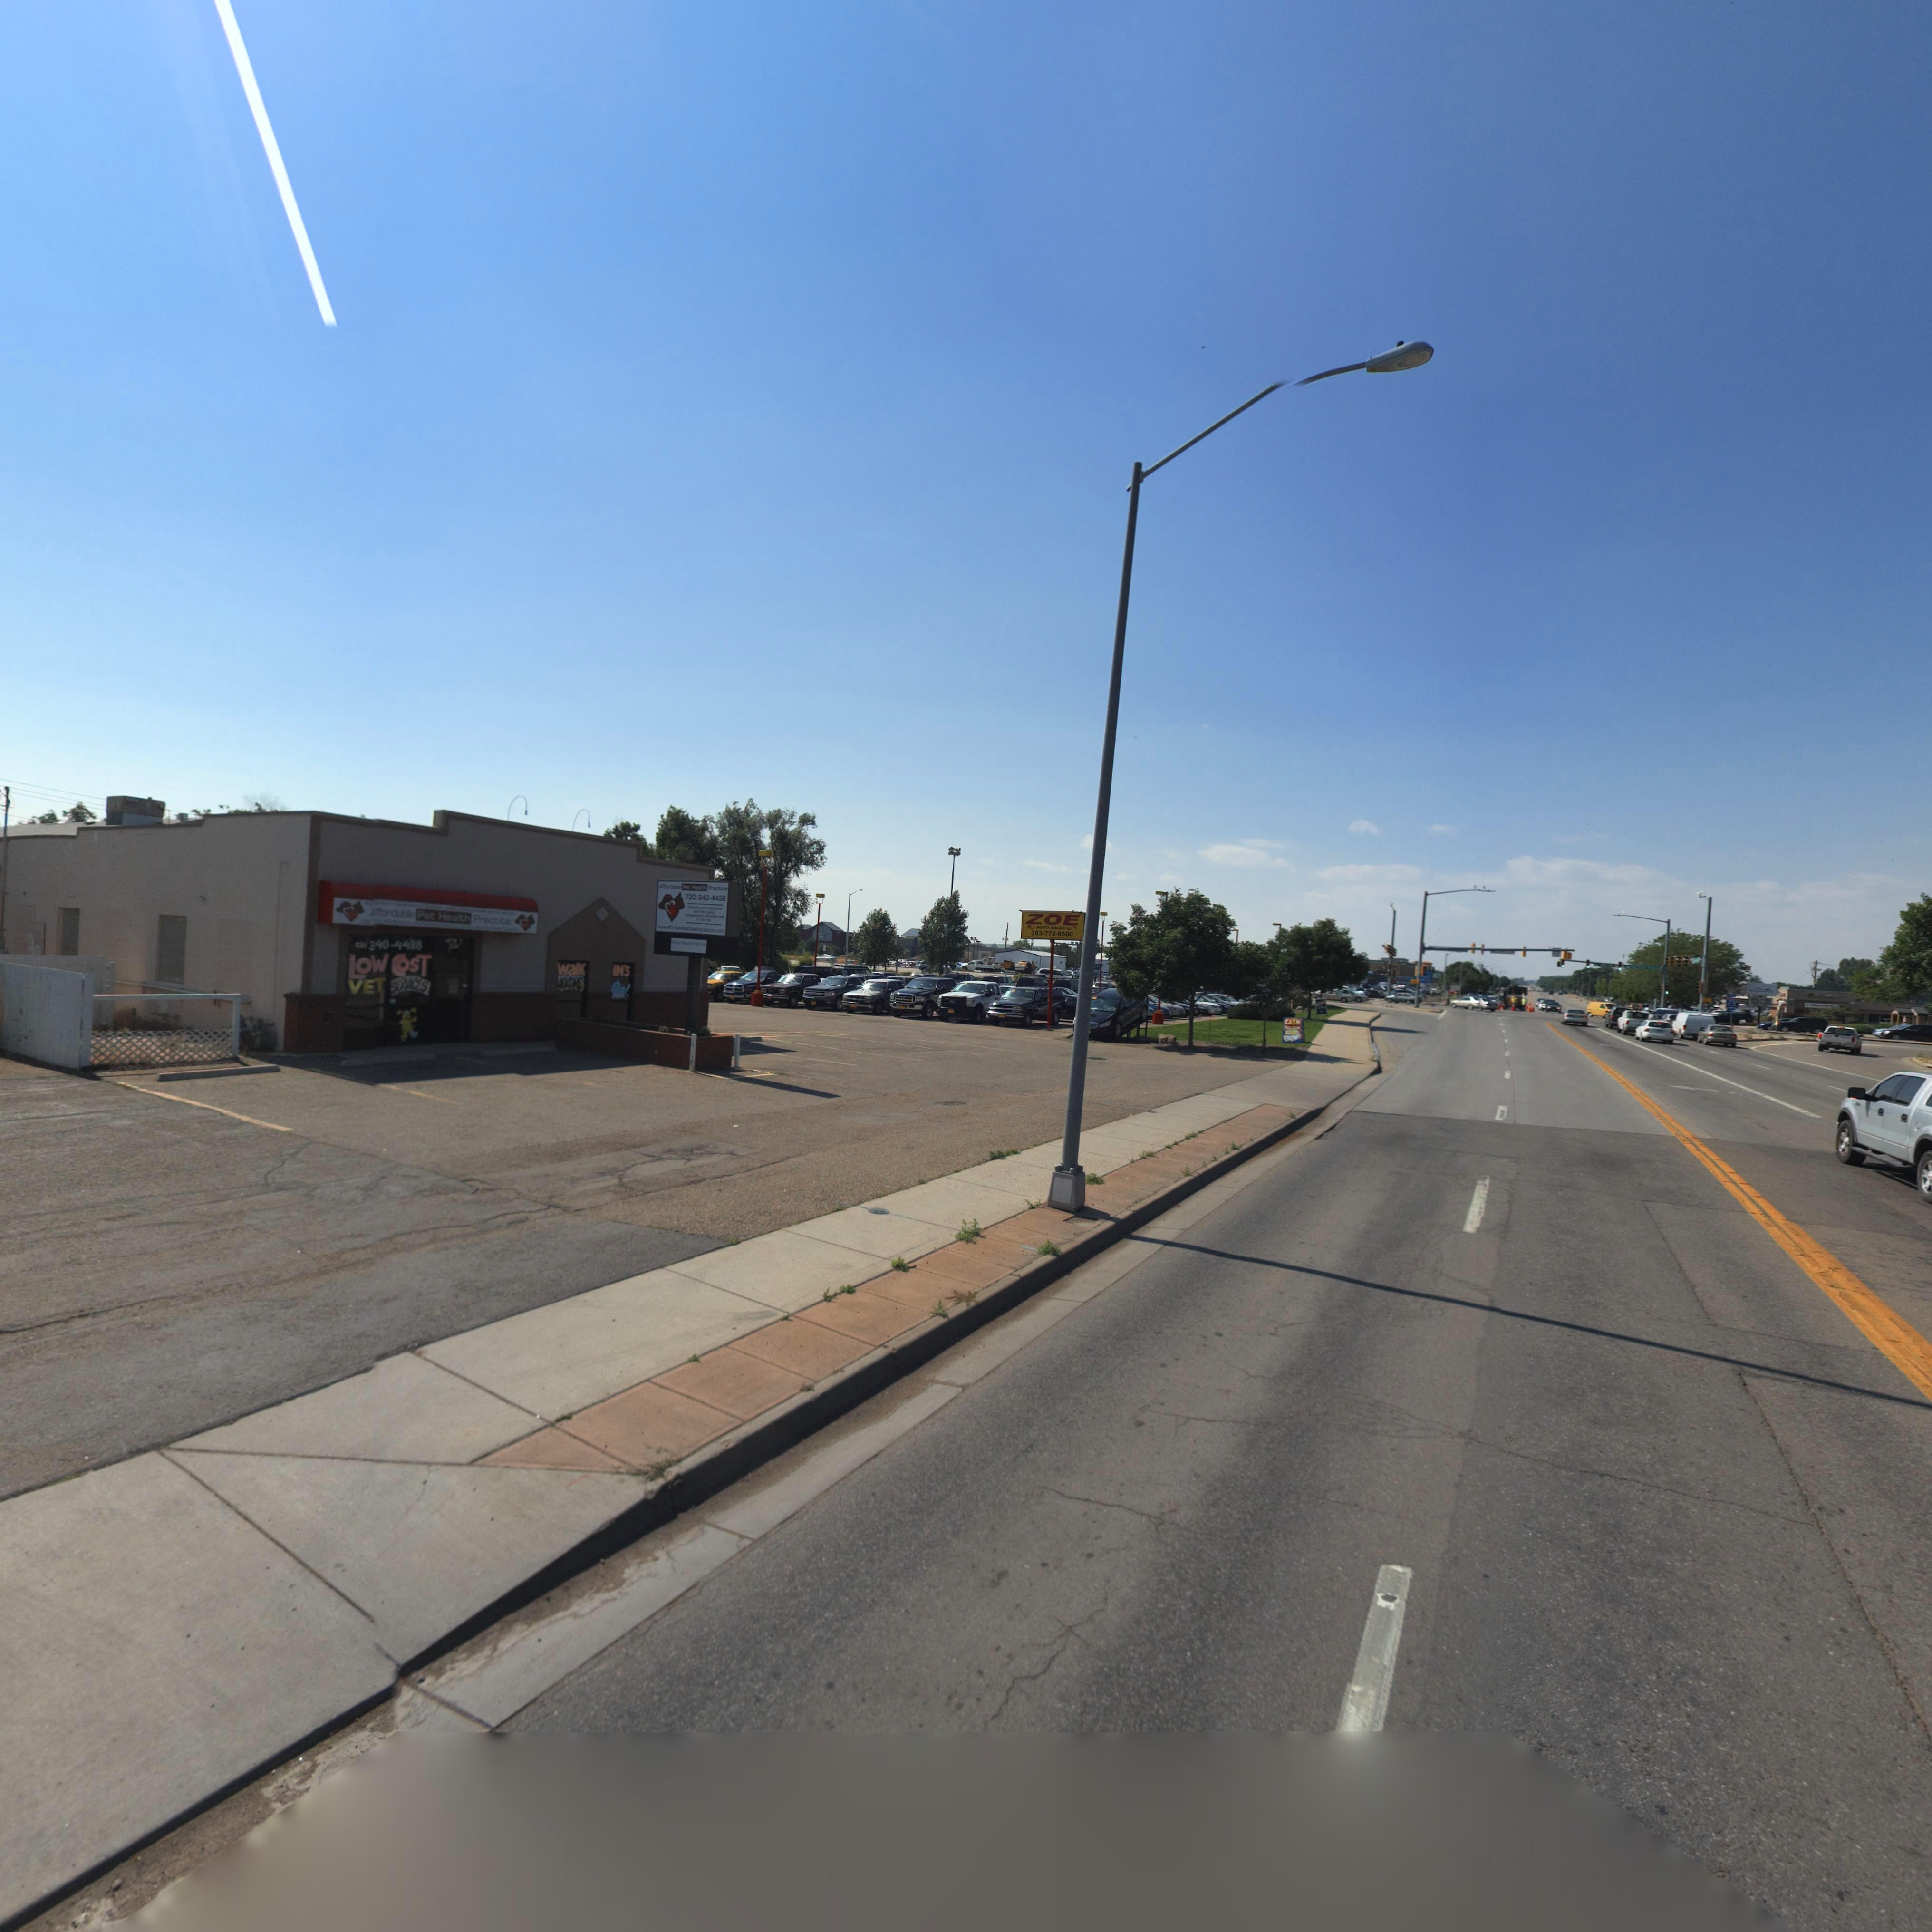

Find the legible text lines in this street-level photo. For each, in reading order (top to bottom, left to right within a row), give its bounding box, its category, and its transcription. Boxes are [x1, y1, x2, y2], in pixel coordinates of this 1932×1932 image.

[658, 883, 728, 891] BusinessName: Affordable Pet Health Practice
[369, 906, 511, 926] BusinessName: Affordable Pet Health Practice
[1025, 914, 1080, 926] BusinessName: ZOE
[1035, 925, 1065, 930] BusinessName: AUTO SALES